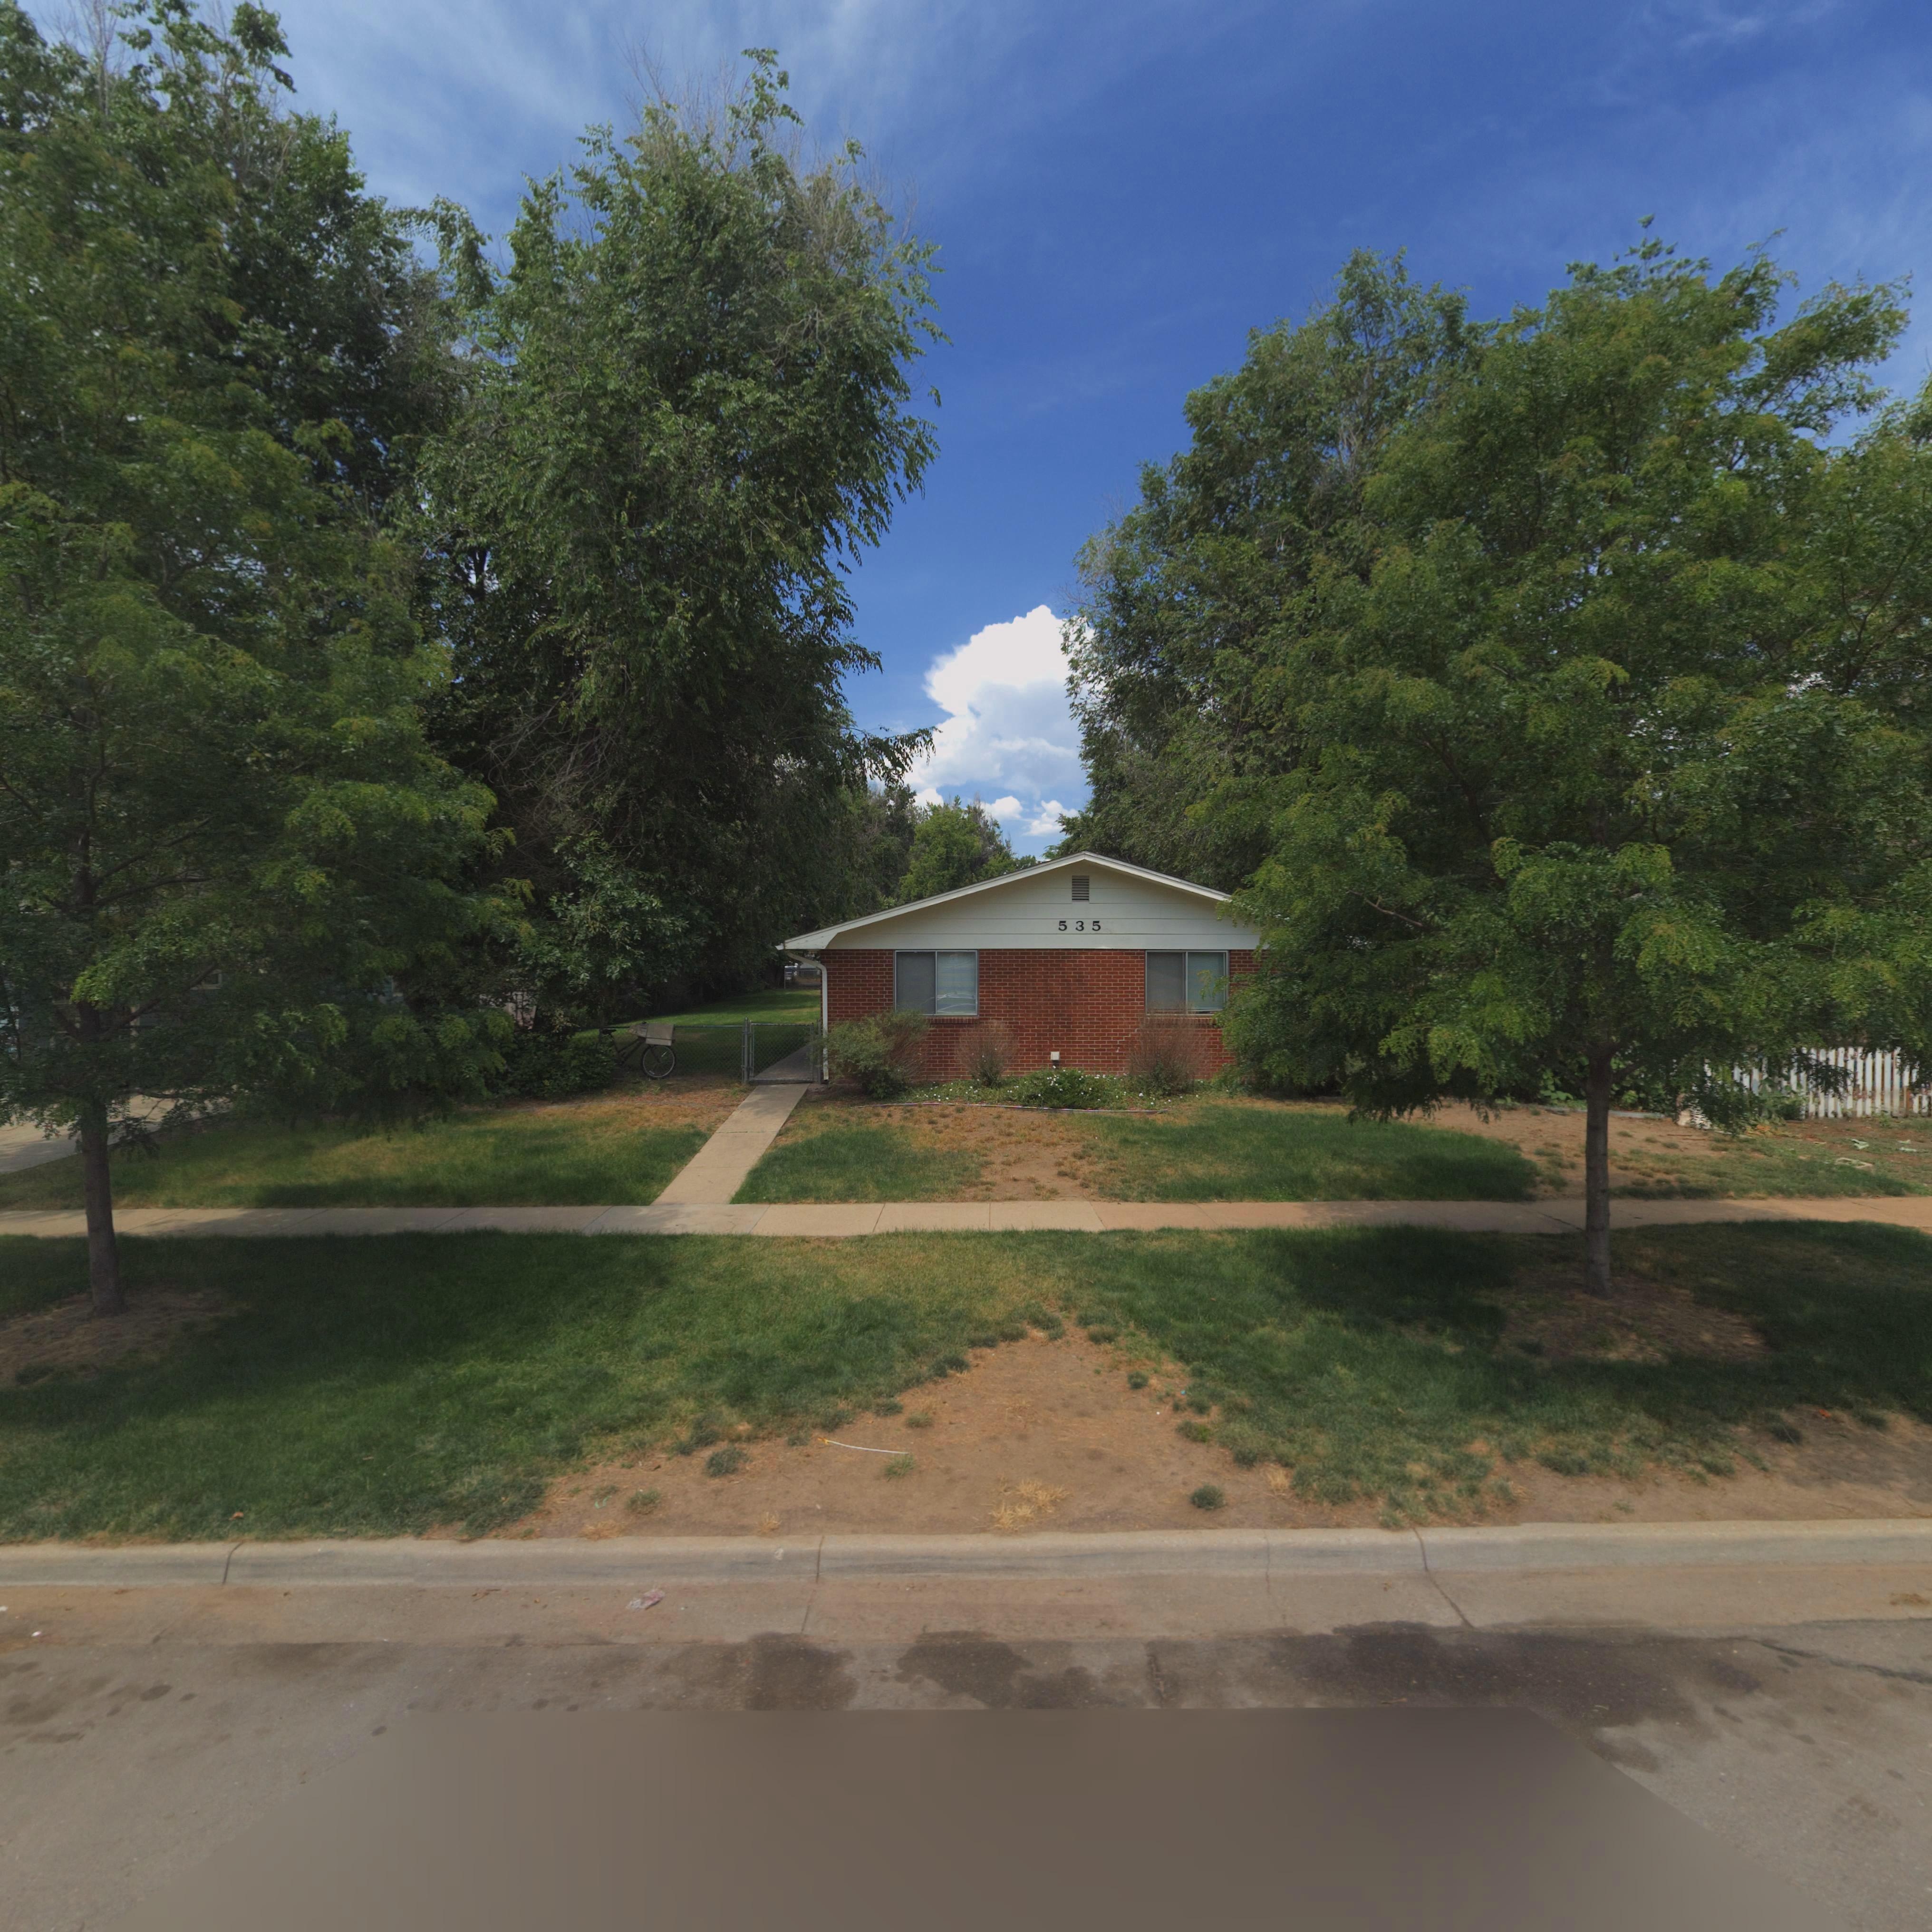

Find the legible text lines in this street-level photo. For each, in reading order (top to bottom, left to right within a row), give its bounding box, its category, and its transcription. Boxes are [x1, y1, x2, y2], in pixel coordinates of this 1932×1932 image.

[1058, 920, 1101, 931] StreetNumber: 535